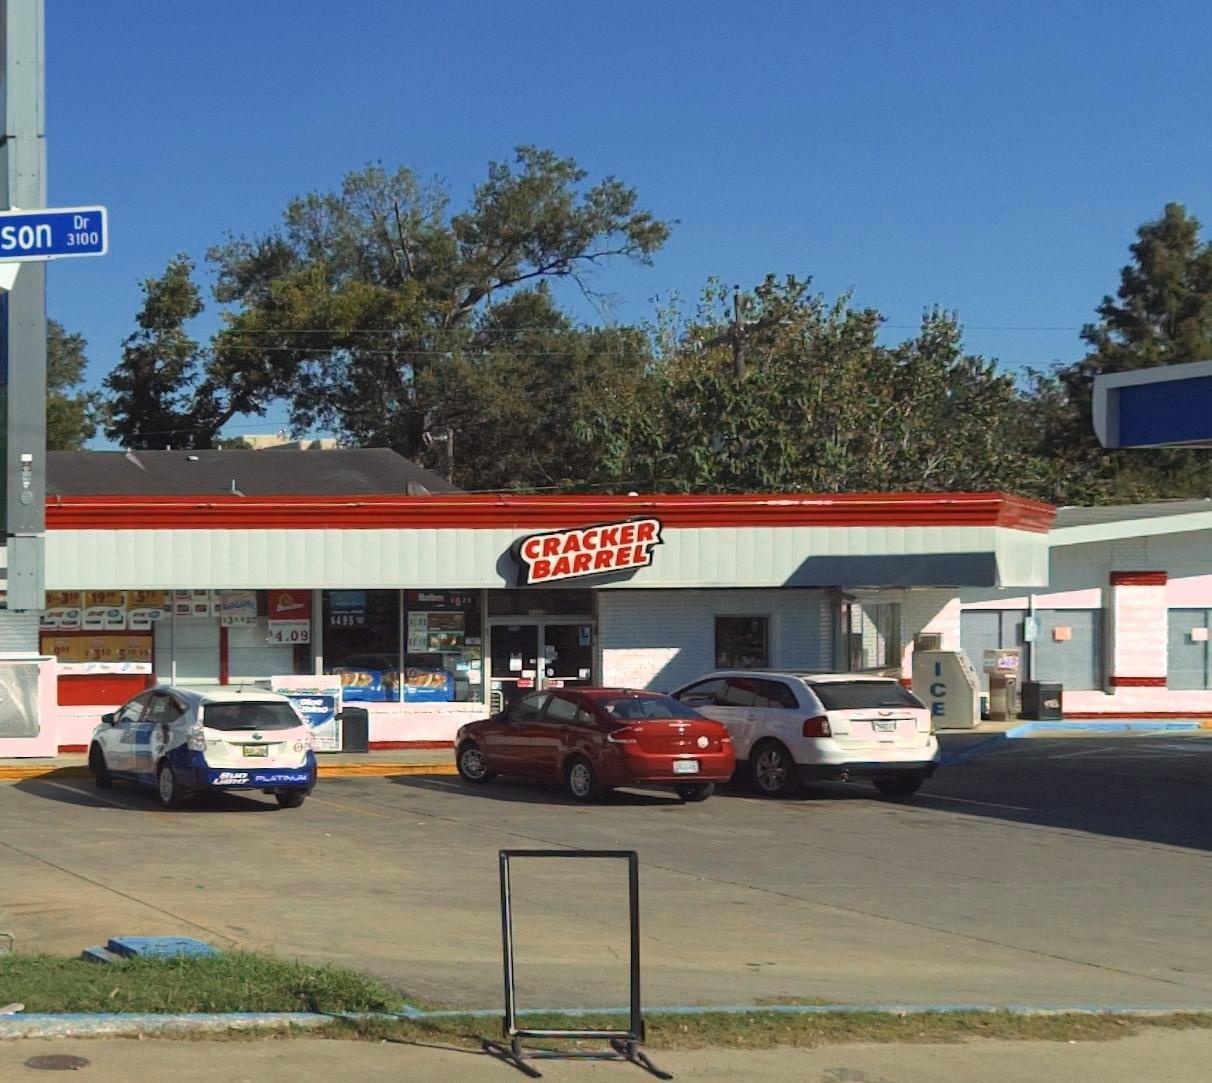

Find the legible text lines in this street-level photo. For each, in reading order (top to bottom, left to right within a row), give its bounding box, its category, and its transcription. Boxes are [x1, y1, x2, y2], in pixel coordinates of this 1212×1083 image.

[0, 213, 91, 251] StreetName: son Dr
[65, 230, 101, 248] StreetNumberRange: 3100
[522, 520, 657, 562] BusinessName: CRACKER
[530, 542, 648, 581] BusinessName: BARREL
[60, 592, 70, 605] None: 3
[91, 590, 116, 604] None: 1999
[136, 590, 157, 604] None: 579
[454, 596, 462, 607] None: 5
[227, 615, 234, 626] None: 3
[335, 614, 355, 627] None: 4985
[273, 629, 309, 643] None: 4.09
[53, 645, 71, 657] None: 999
[92, 646, 111, 661] None: 35*
[117, 648, 127, 661] None: 5
[929, 661, 948, 717] None: ICE
[211, 778, 251, 786] None: LIGHT
[254, 774, 308, 782] None: PLATINUM